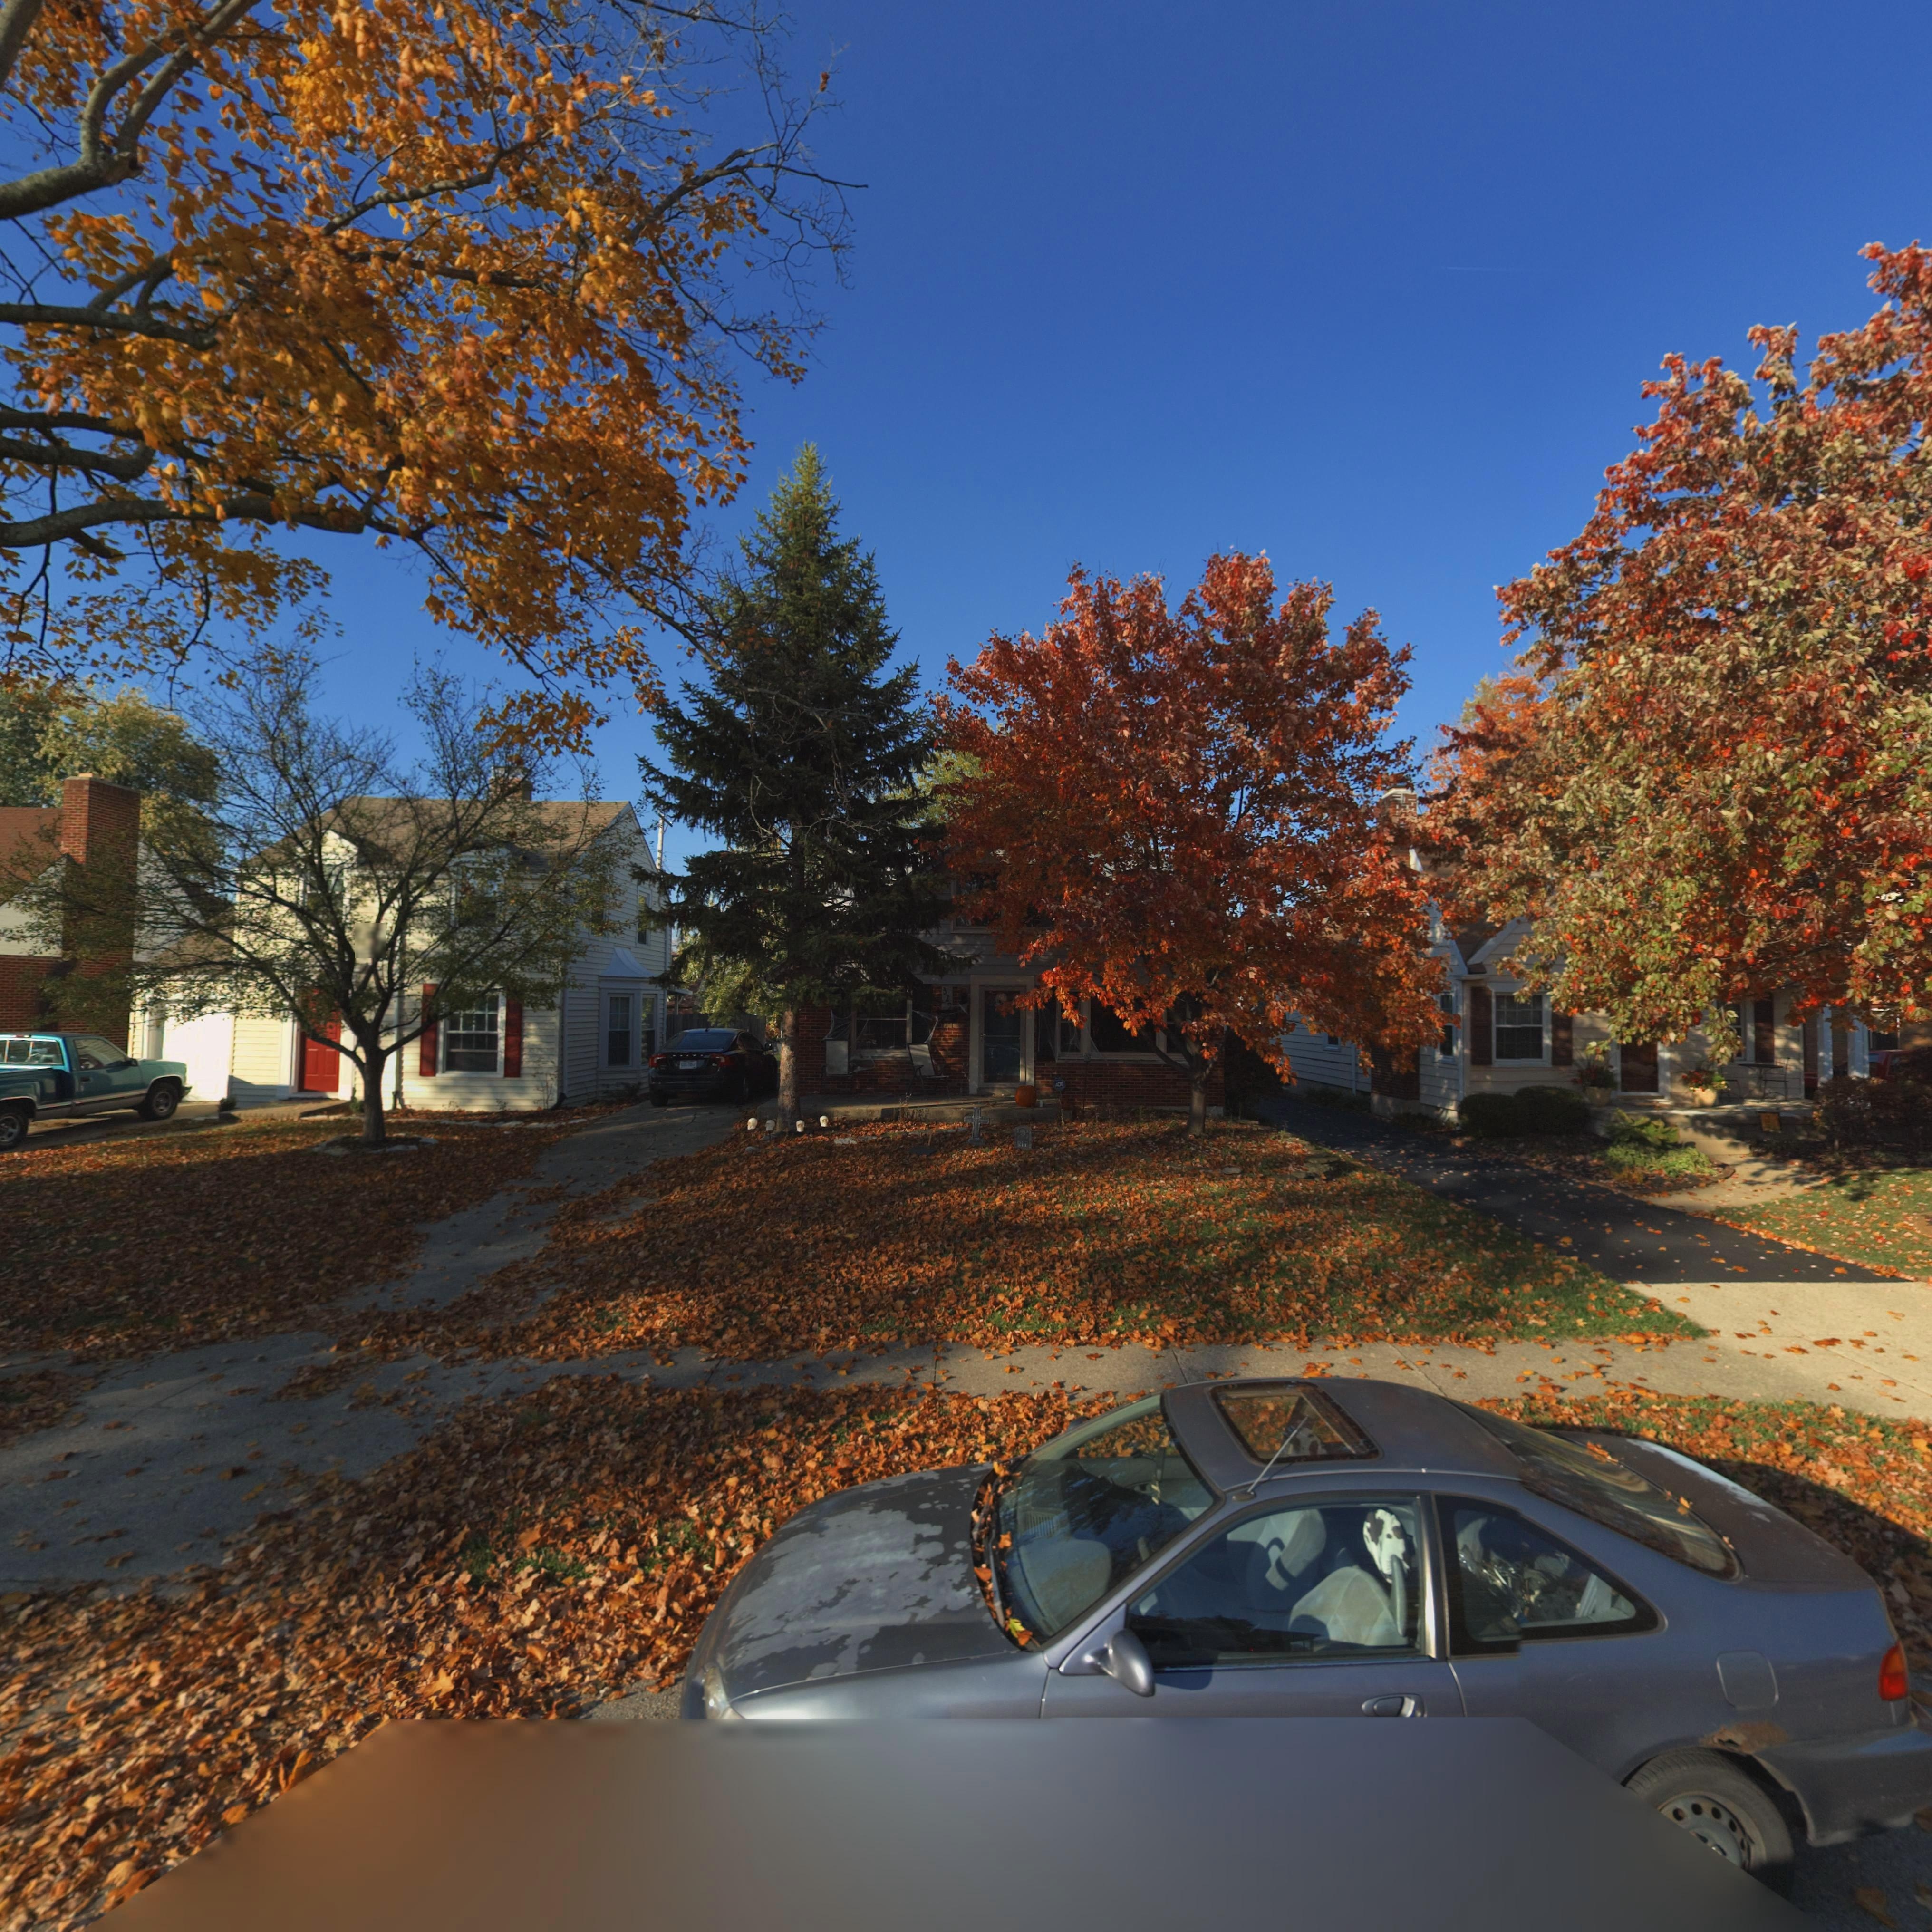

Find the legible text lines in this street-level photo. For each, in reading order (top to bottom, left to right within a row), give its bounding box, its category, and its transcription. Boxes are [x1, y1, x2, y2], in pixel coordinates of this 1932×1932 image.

[942, 986, 953, 1011] StreetNumber: 32*